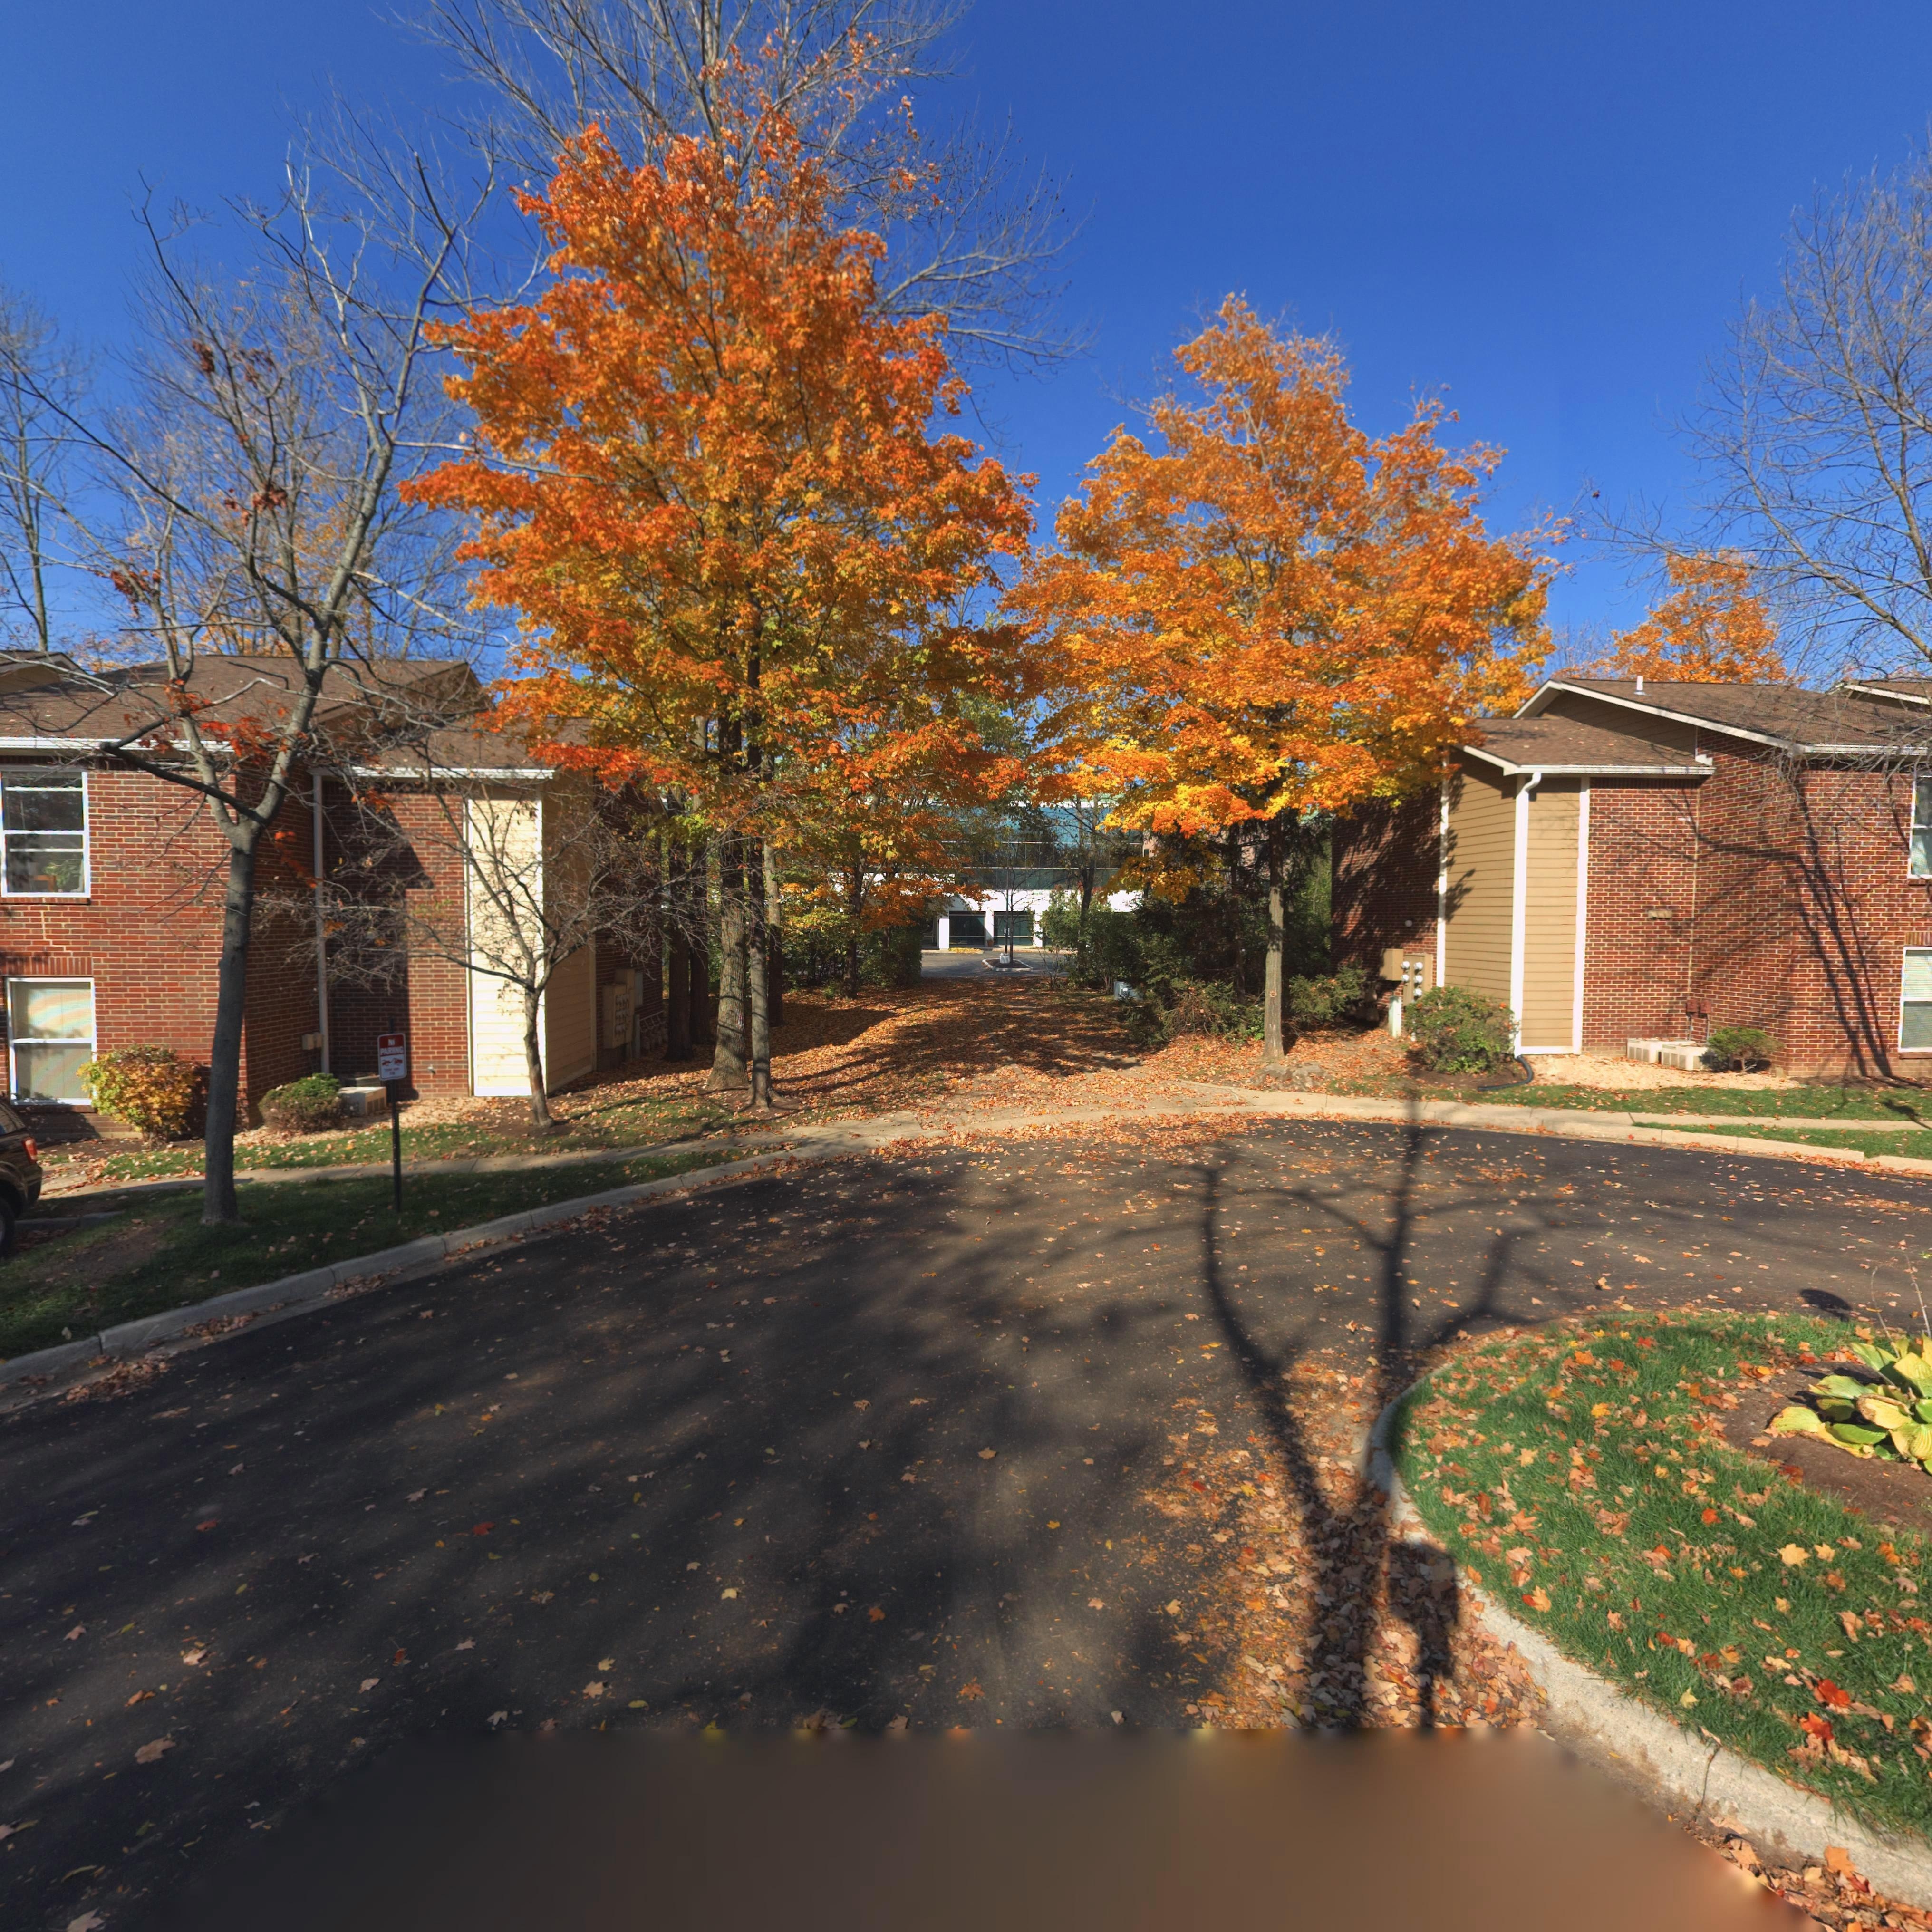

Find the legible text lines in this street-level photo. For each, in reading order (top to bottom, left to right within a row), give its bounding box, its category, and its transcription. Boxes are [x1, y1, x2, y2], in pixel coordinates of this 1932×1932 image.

[379, 1046, 389, 1057] None: PA